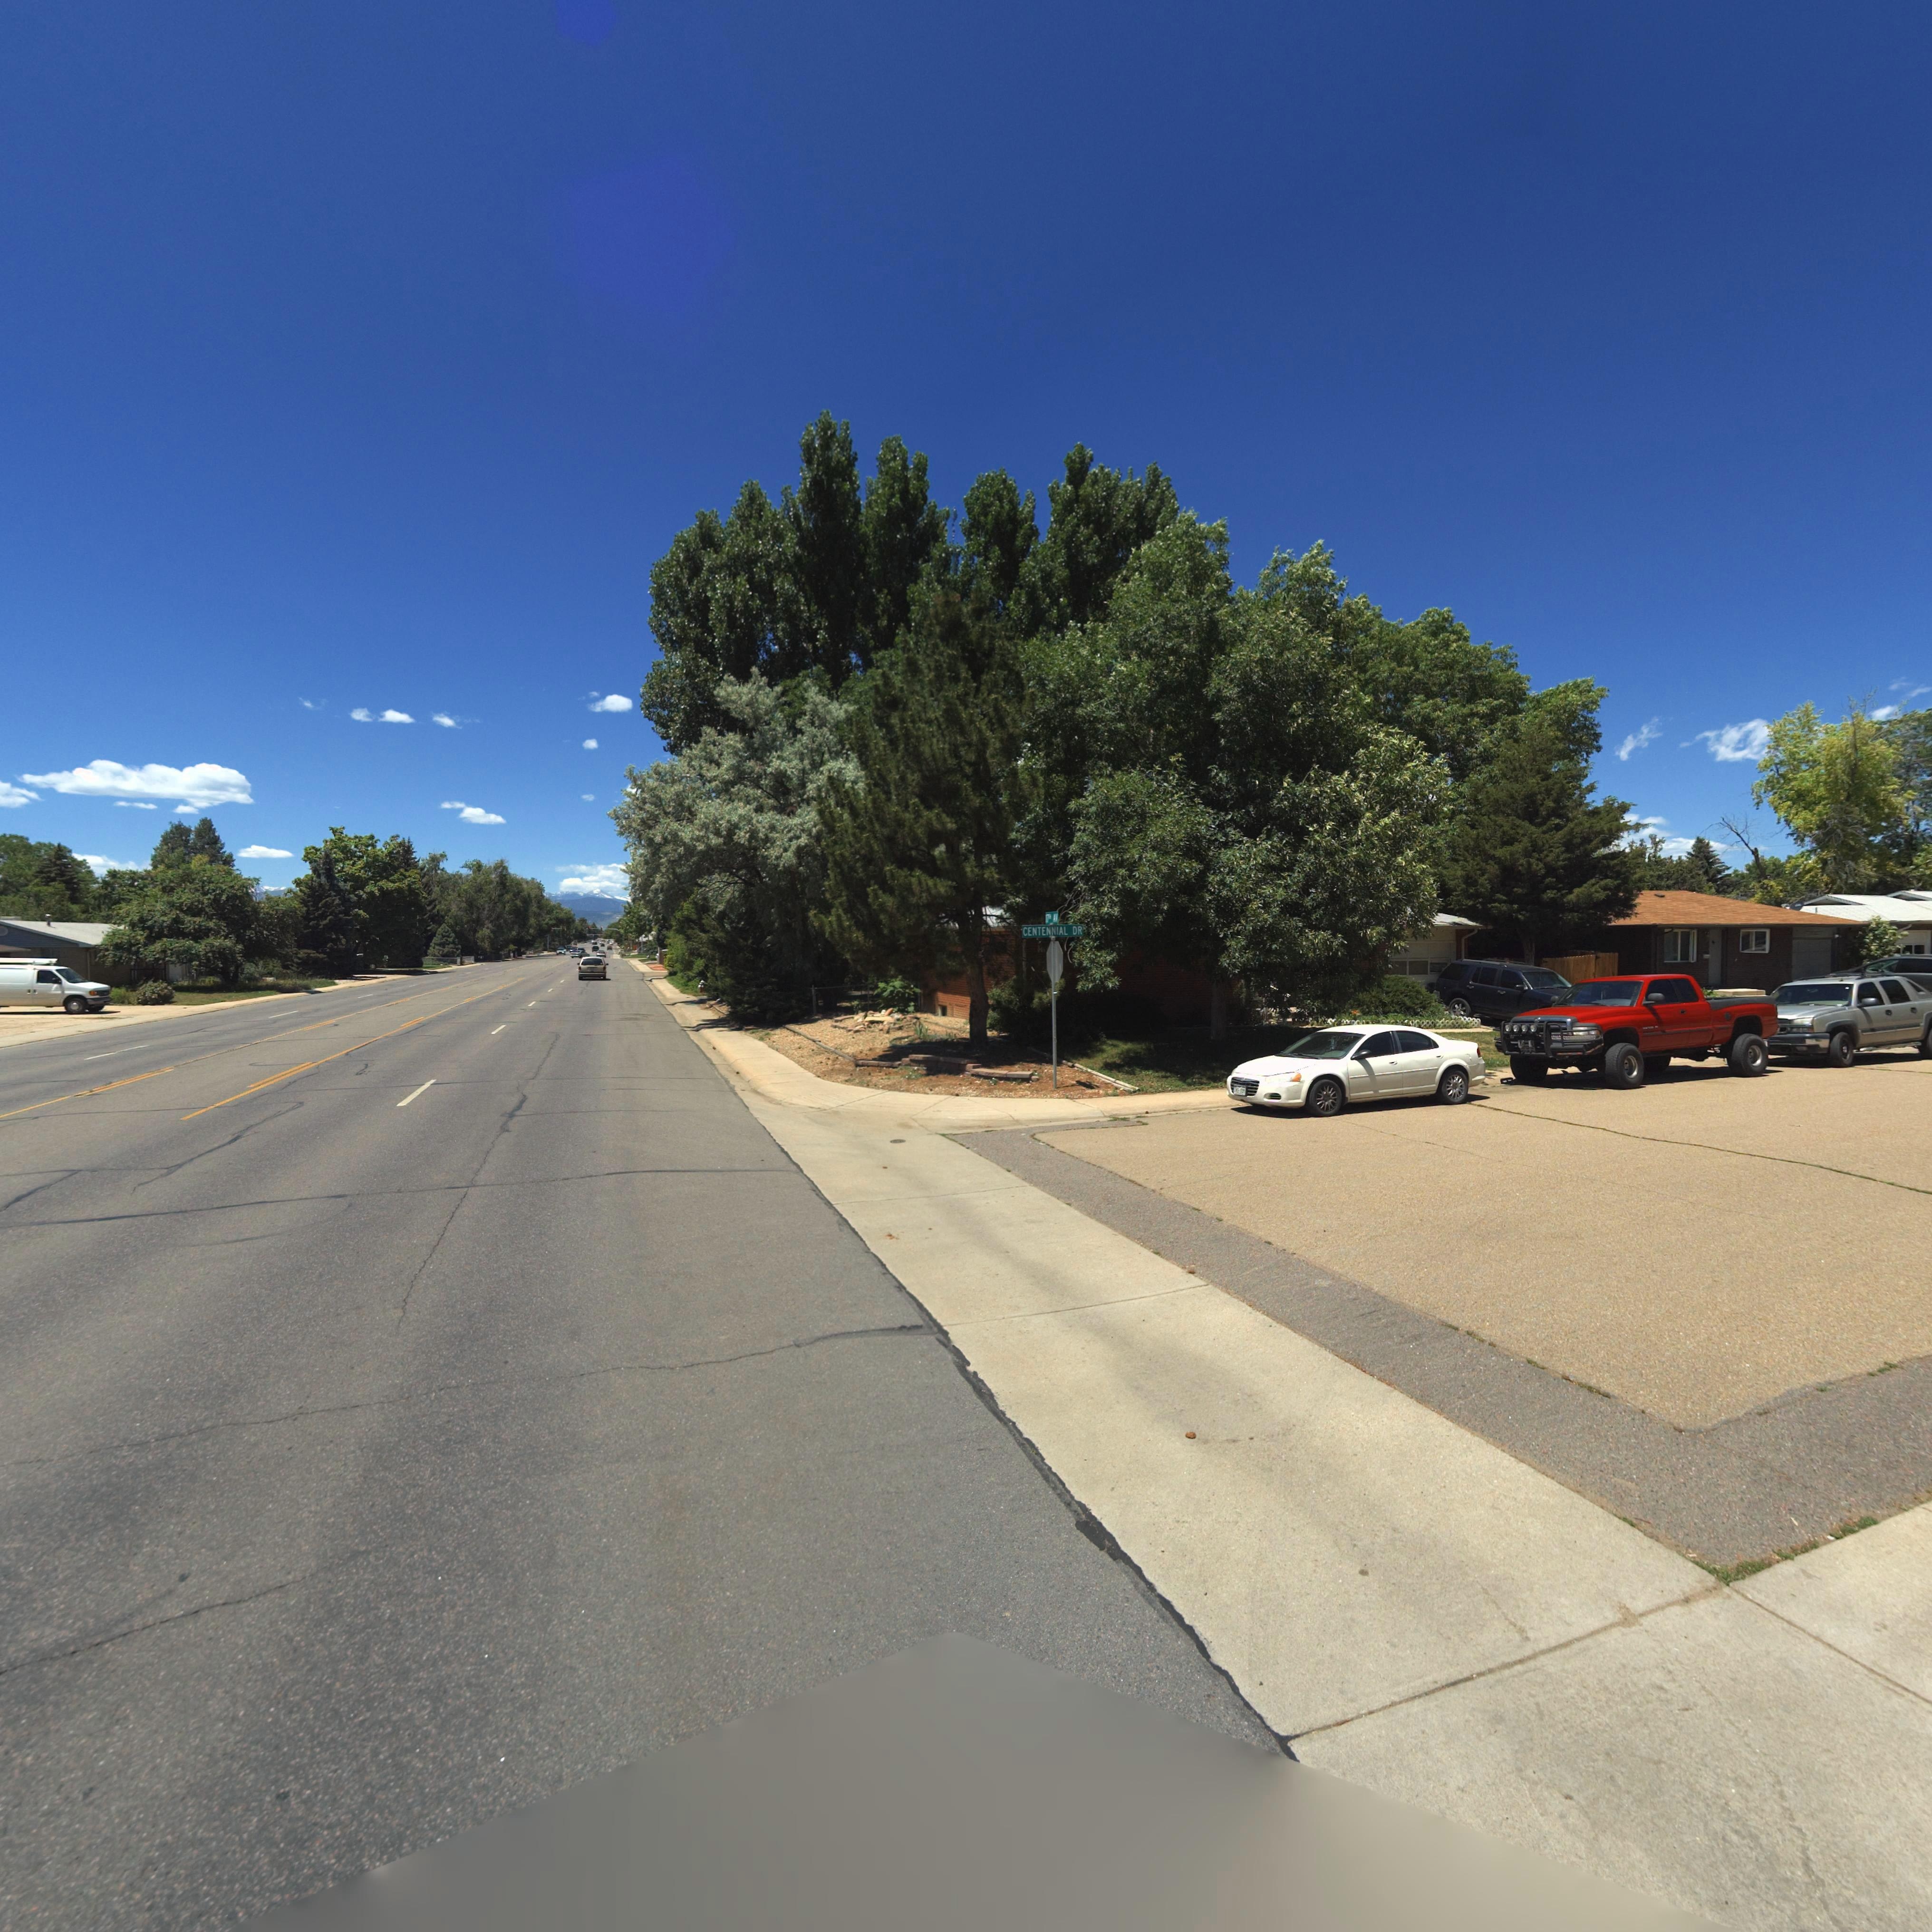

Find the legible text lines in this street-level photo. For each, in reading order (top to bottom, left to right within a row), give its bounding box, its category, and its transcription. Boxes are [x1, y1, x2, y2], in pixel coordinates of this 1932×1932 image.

[1045, 913, 1058, 922] StreetName: 17TH AV
[1023, 926, 1082, 936] StreetName: CENTENNIAL DR